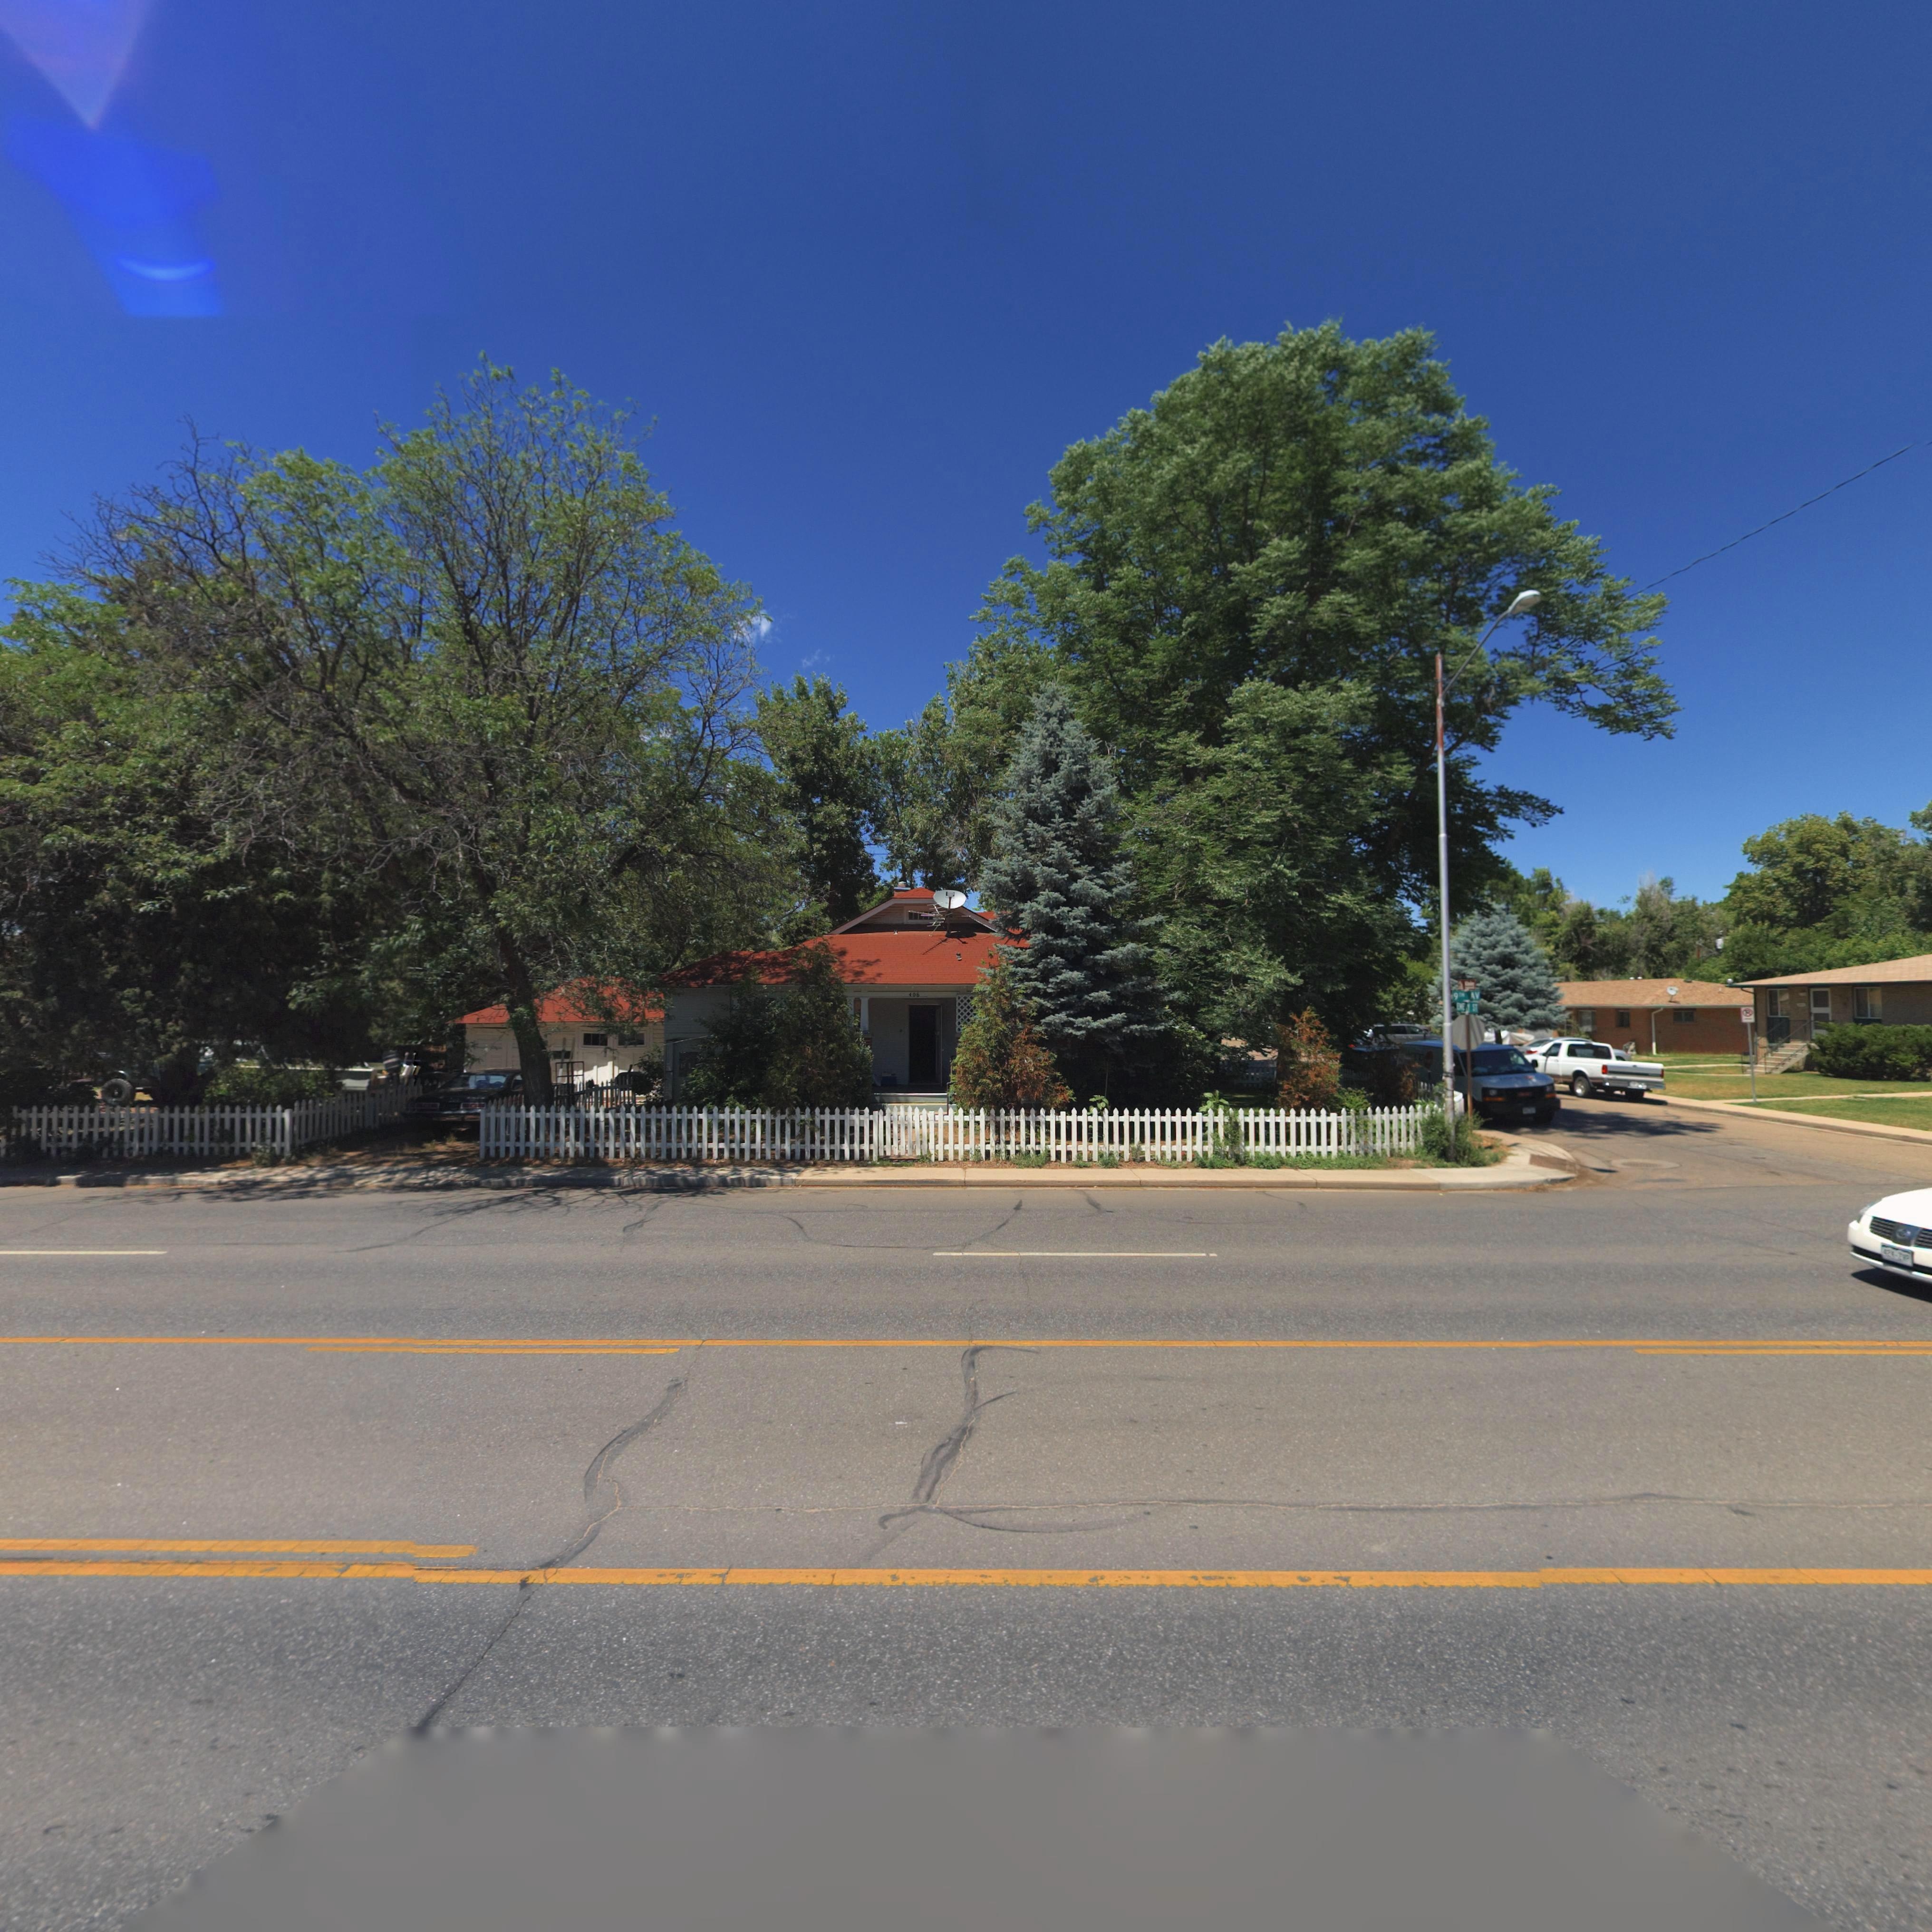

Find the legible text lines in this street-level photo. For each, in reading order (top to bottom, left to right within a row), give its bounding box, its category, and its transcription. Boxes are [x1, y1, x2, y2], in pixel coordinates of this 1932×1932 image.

[908, 992, 920, 997] StreetNumber: 406
[1453, 991, 1480, 1001] StreetName: 9TH AV
[1456, 1002, 1478, 1012] StreetName: E*E*Y ST